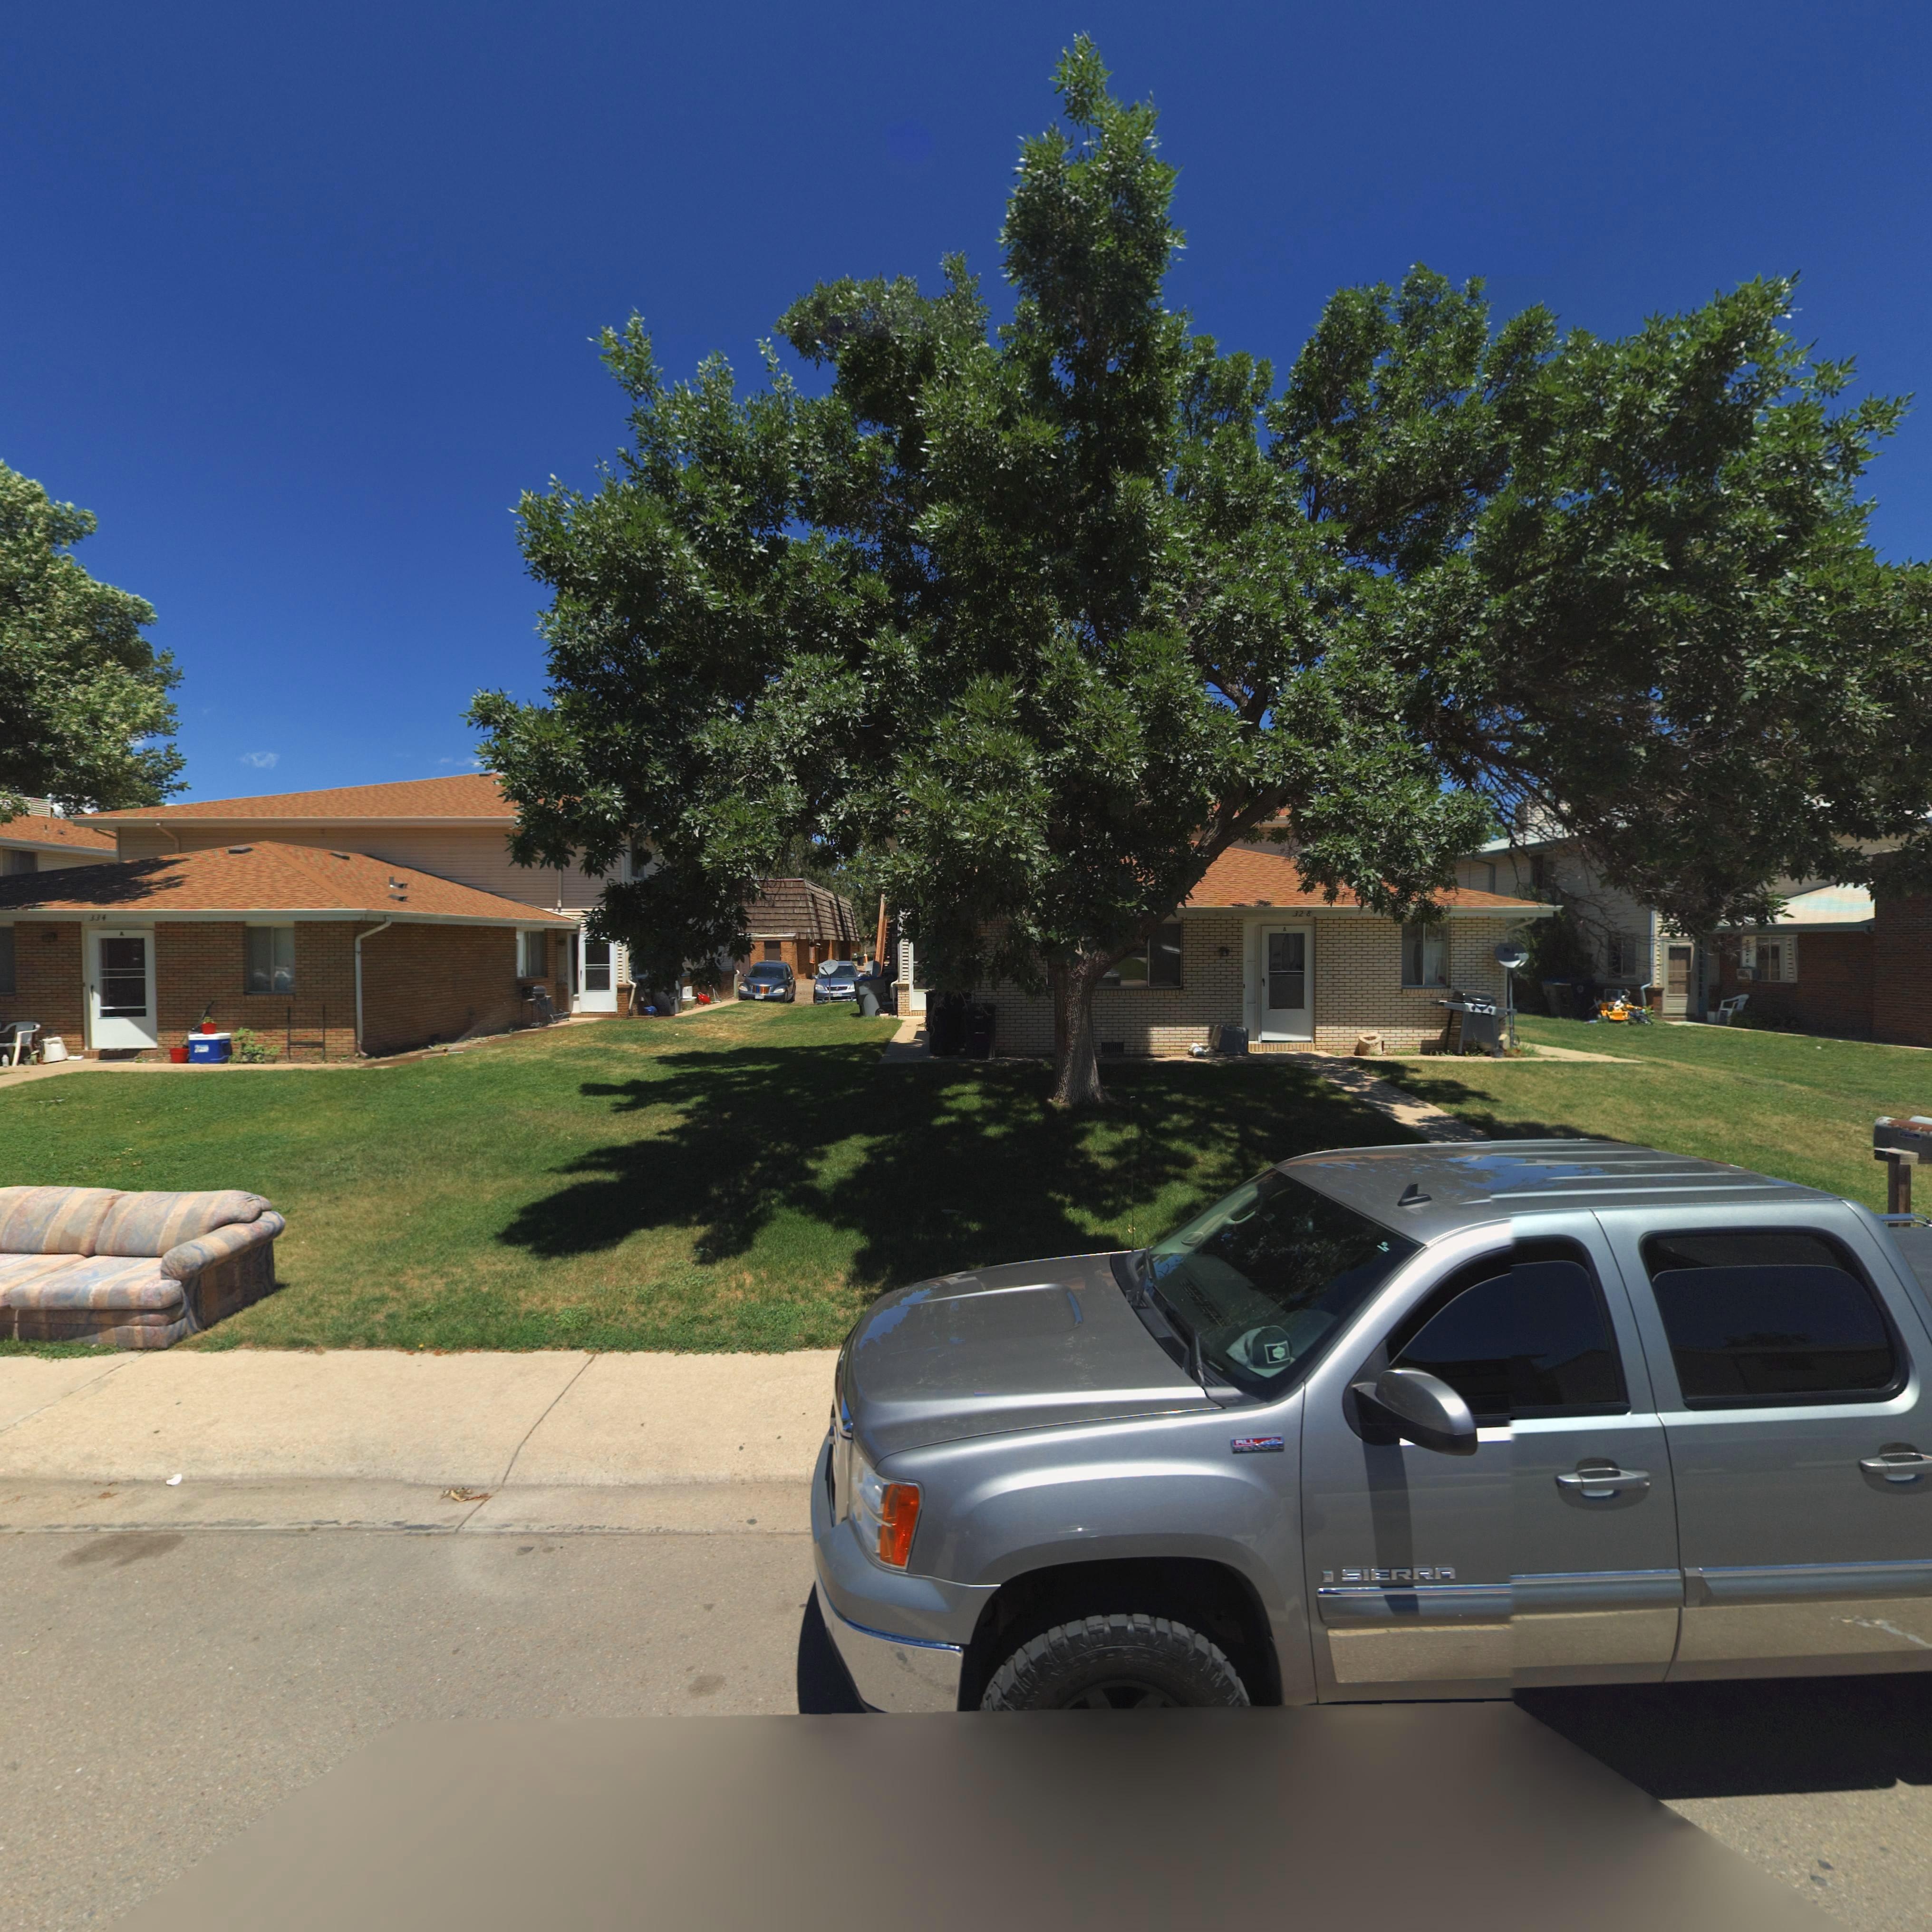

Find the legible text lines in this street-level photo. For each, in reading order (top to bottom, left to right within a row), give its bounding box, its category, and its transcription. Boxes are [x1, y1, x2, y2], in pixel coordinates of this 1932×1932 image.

[1292, 909, 1312, 917] StreetNumber: 328
[88, 913, 106, 921] StreetNumber: 334
[1282, 927, 1286, 931] StreetNumber: A
[119, 931, 124, 936] StreetNumber: A